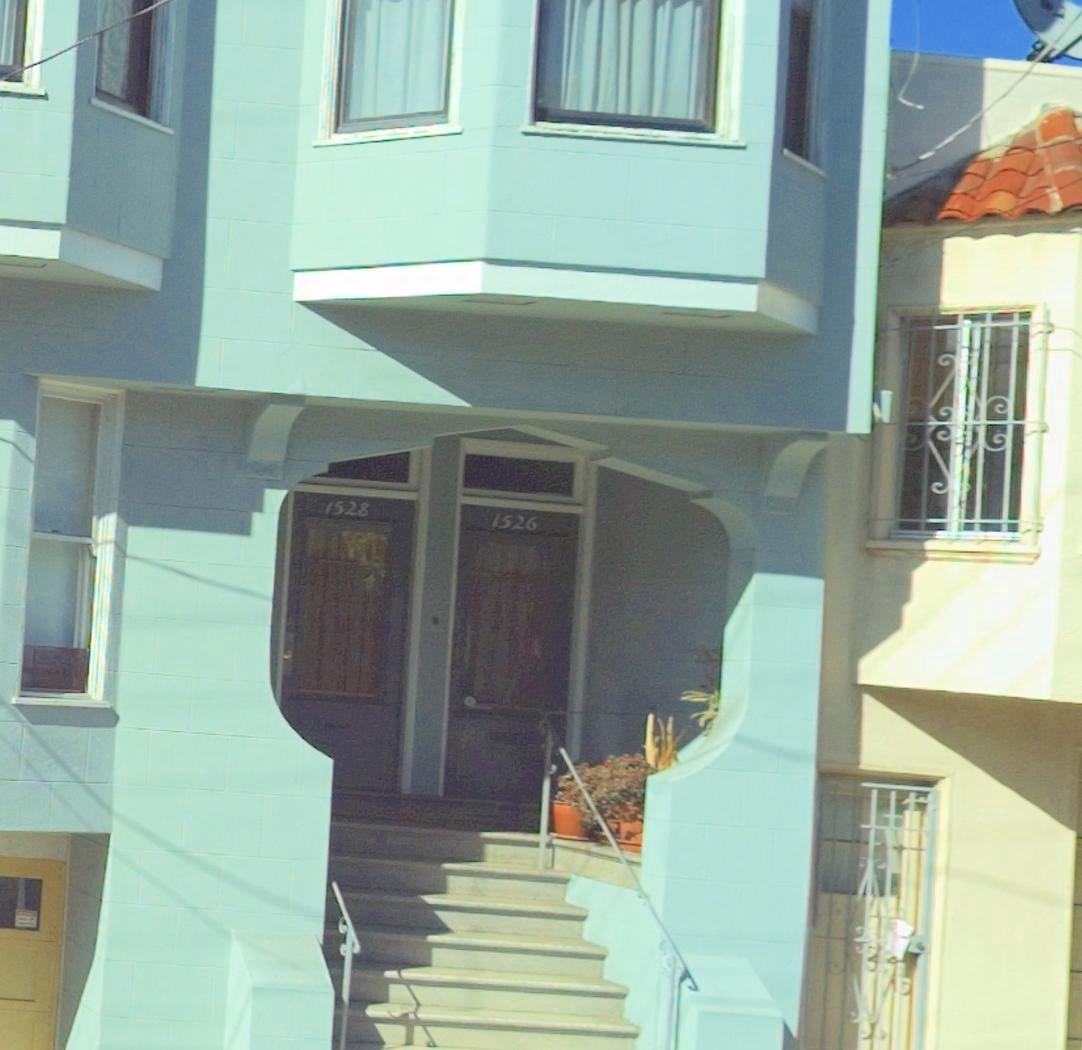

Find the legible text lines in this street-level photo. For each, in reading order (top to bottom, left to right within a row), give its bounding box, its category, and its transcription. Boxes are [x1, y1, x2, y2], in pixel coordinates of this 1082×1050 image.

[322, 499, 372, 517] StreetNumber: 1528
[489, 511, 539, 533] StreetNumber: 1526